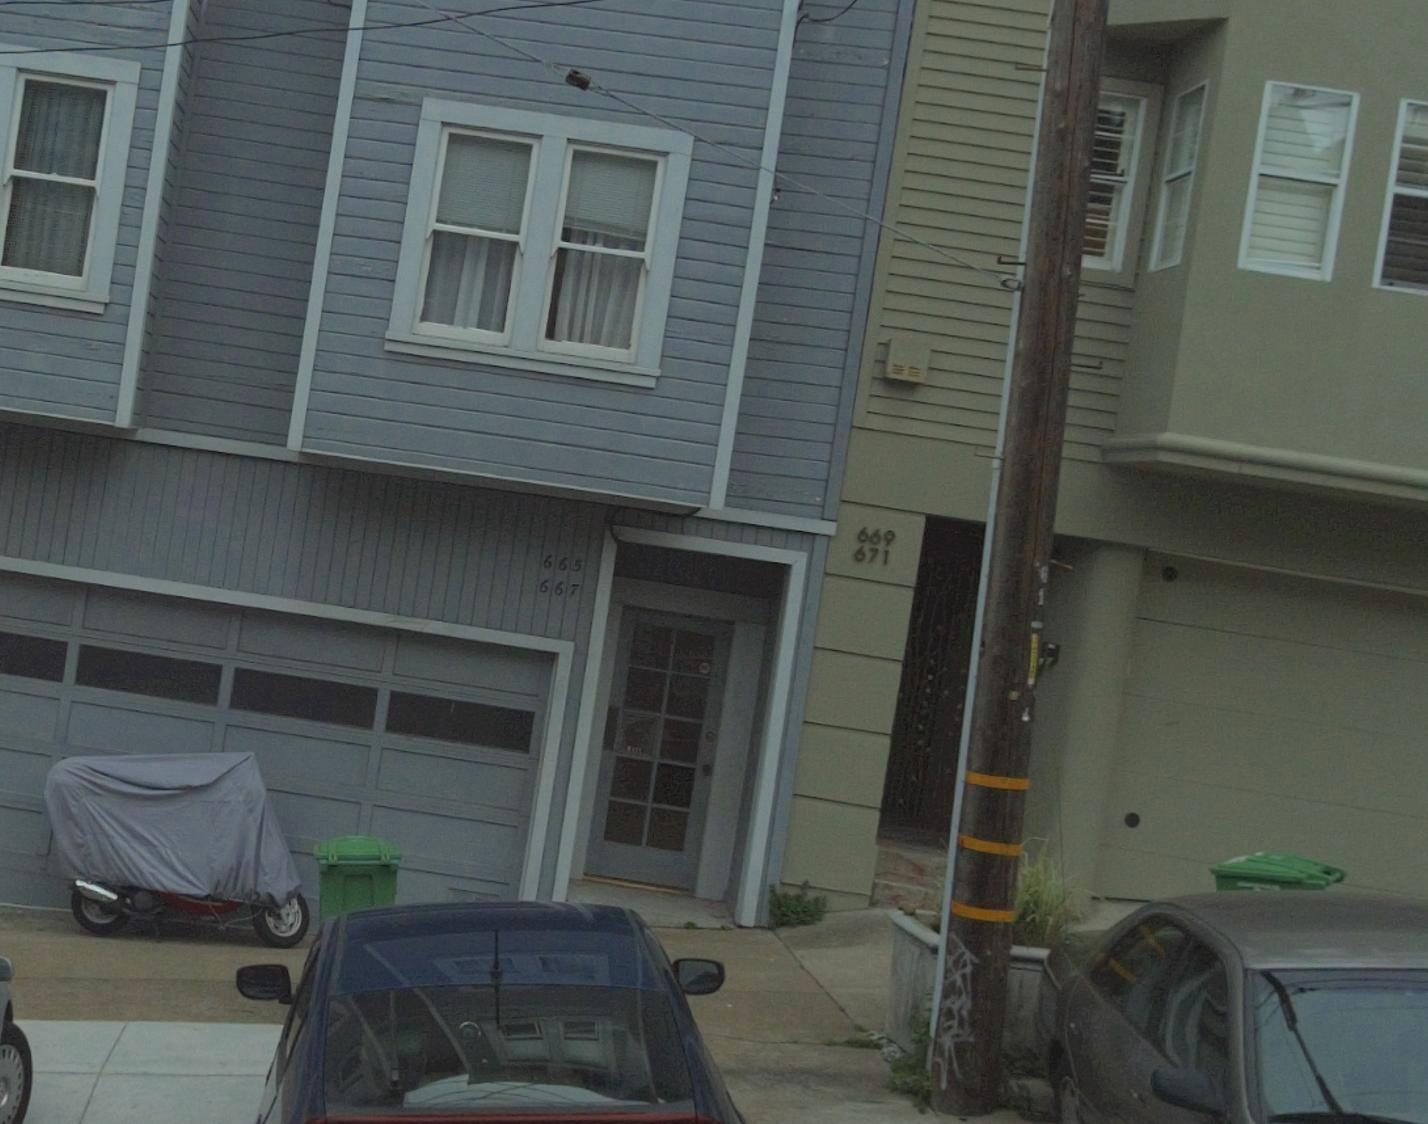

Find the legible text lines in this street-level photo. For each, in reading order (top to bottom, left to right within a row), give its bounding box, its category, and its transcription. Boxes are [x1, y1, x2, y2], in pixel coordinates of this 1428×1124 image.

[854, 524, 901, 548] StreetNumber: 669
[540, 552, 585, 573] StreetNumber: 665
[852, 543, 890, 566] StreetNumber: 671
[536, 576, 580, 598] StreetNumber: 667